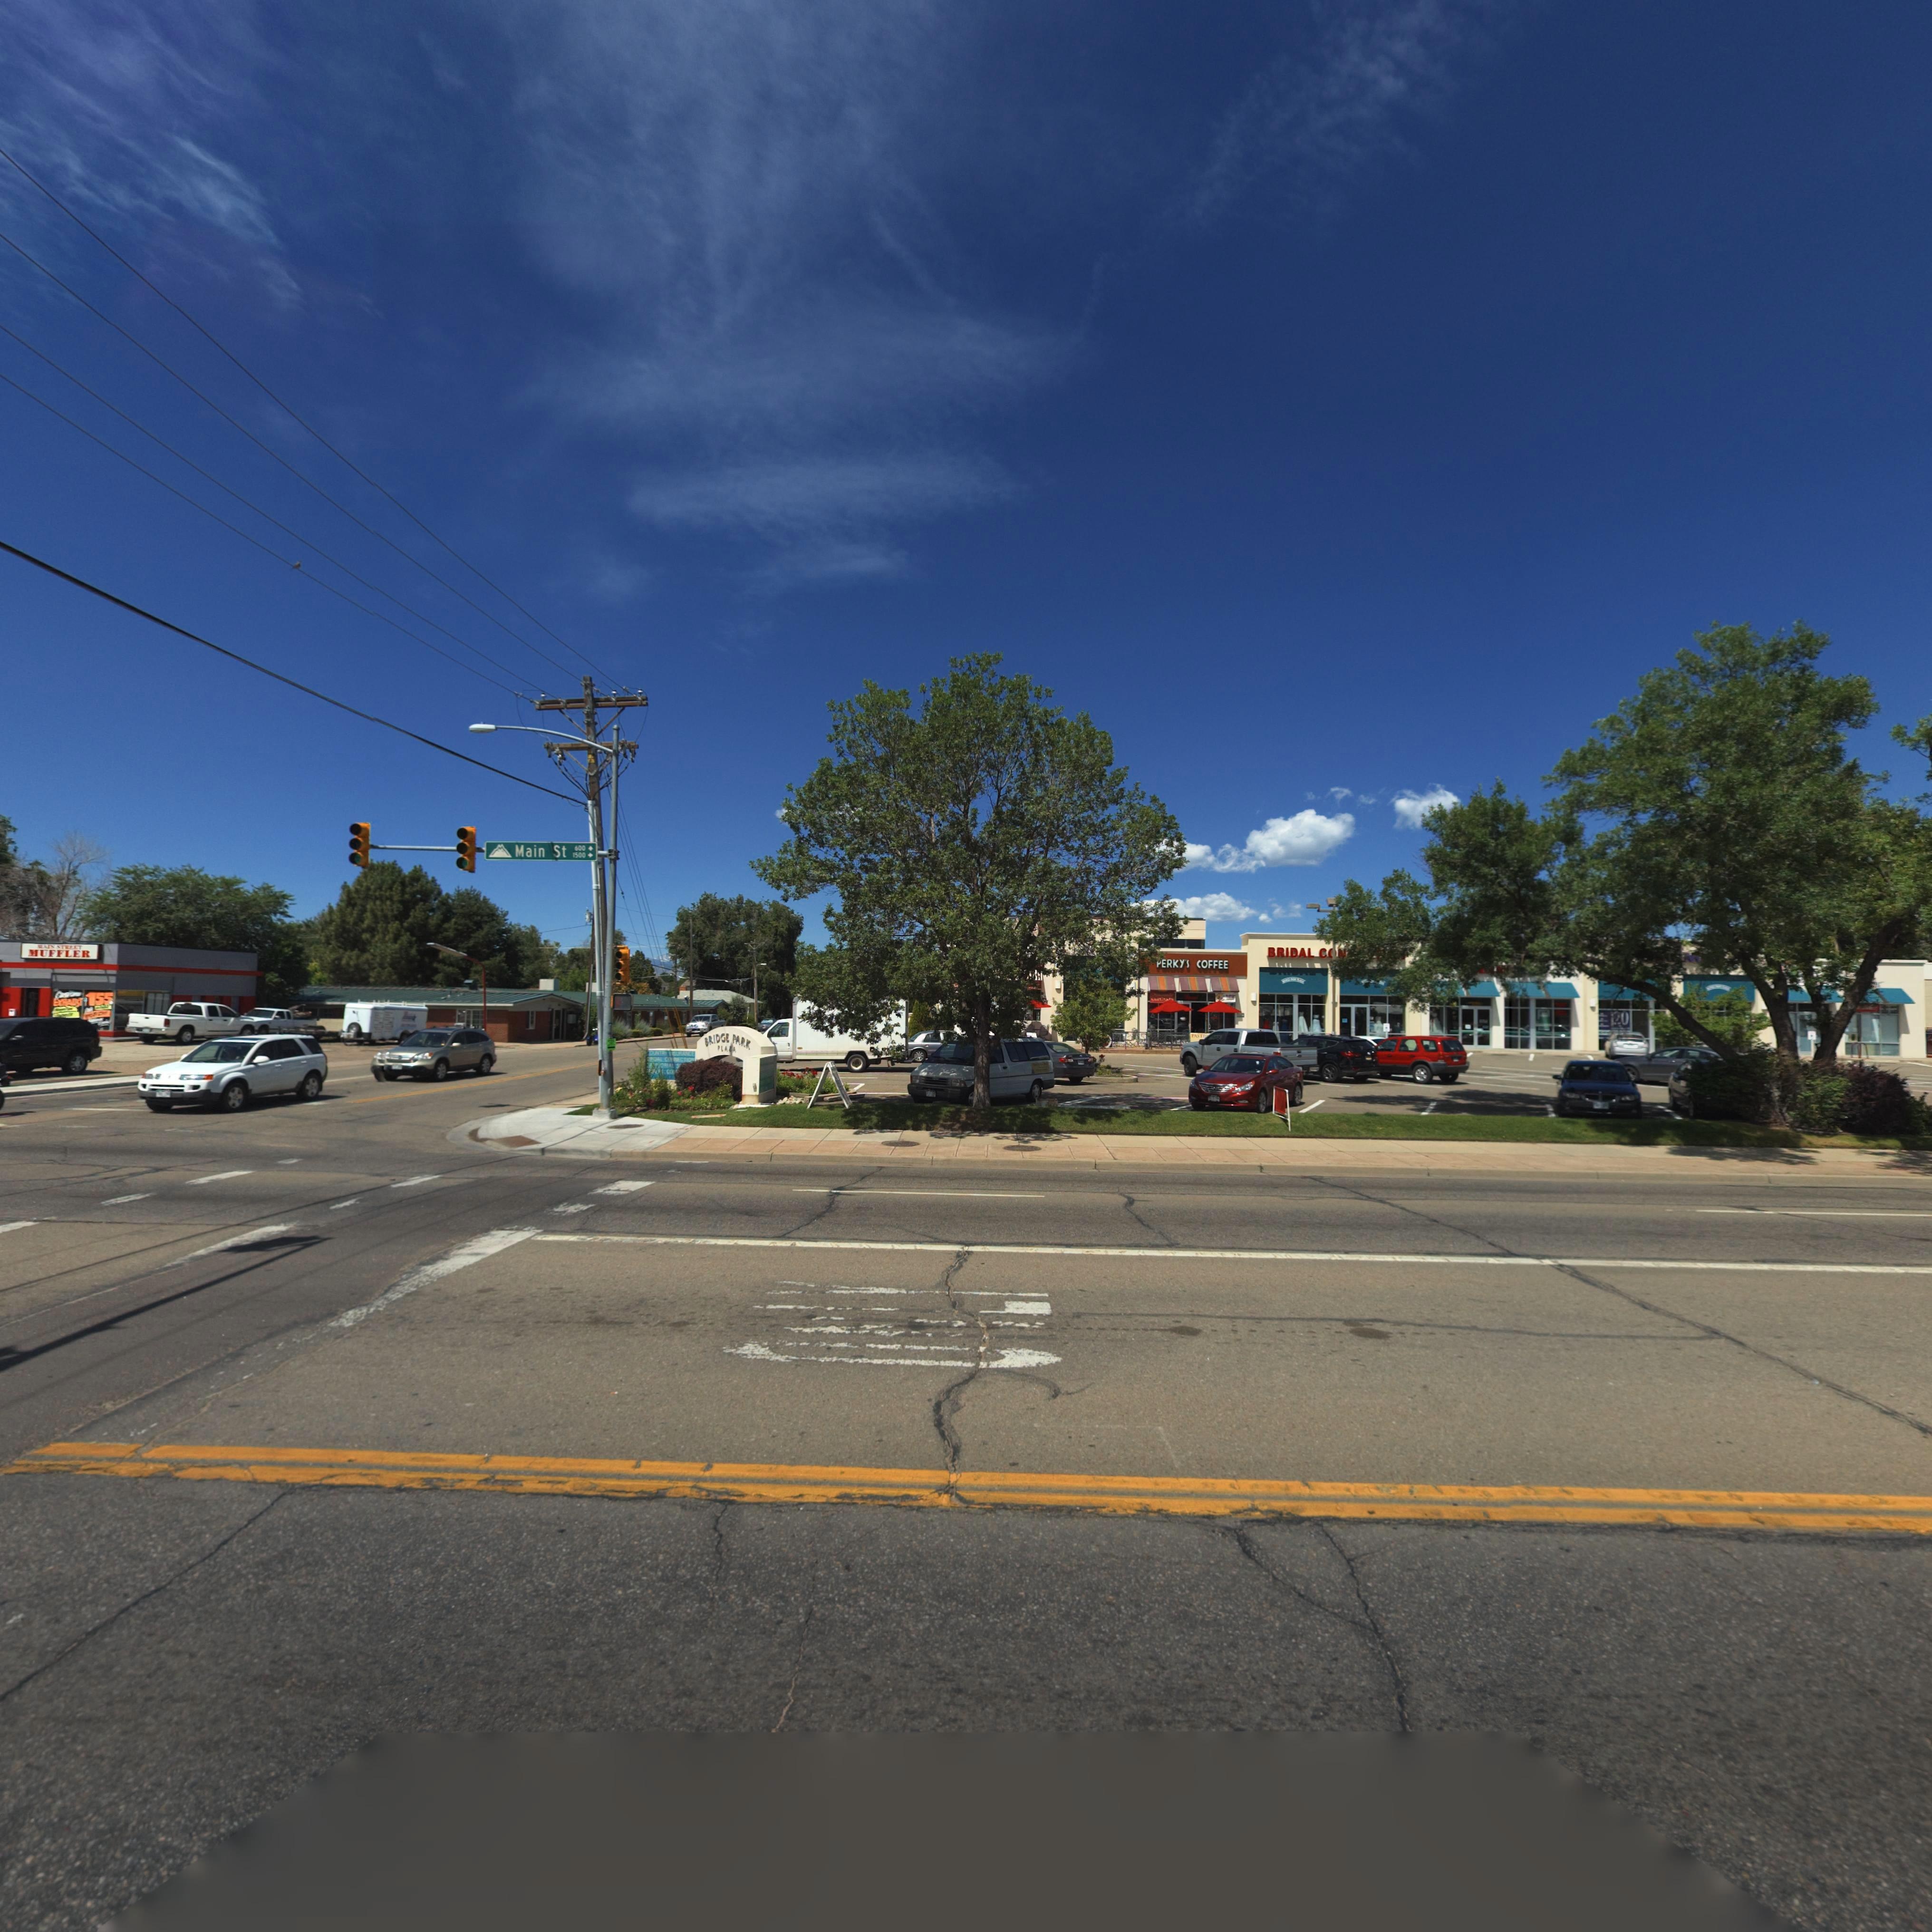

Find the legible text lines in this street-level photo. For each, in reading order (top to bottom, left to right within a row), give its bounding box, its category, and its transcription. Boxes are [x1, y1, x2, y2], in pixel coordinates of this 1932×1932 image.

[514, 844, 567, 858] StreetName: Main St
[574, 845, 586, 851] StreetNumberRange: 600
[572, 852, 594, 858] StreetNumberRange: 1500->
[37, 945, 82, 949] BusinessName: MAIN STREET
[28, 949, 90, 957] BusinessName: MUFFLER
[1267, 947, 1346, 958] BusinessName: BRIDAL C*N
[1156, 958, 1228, 969] BusinessName: PERKY'S COFFEE